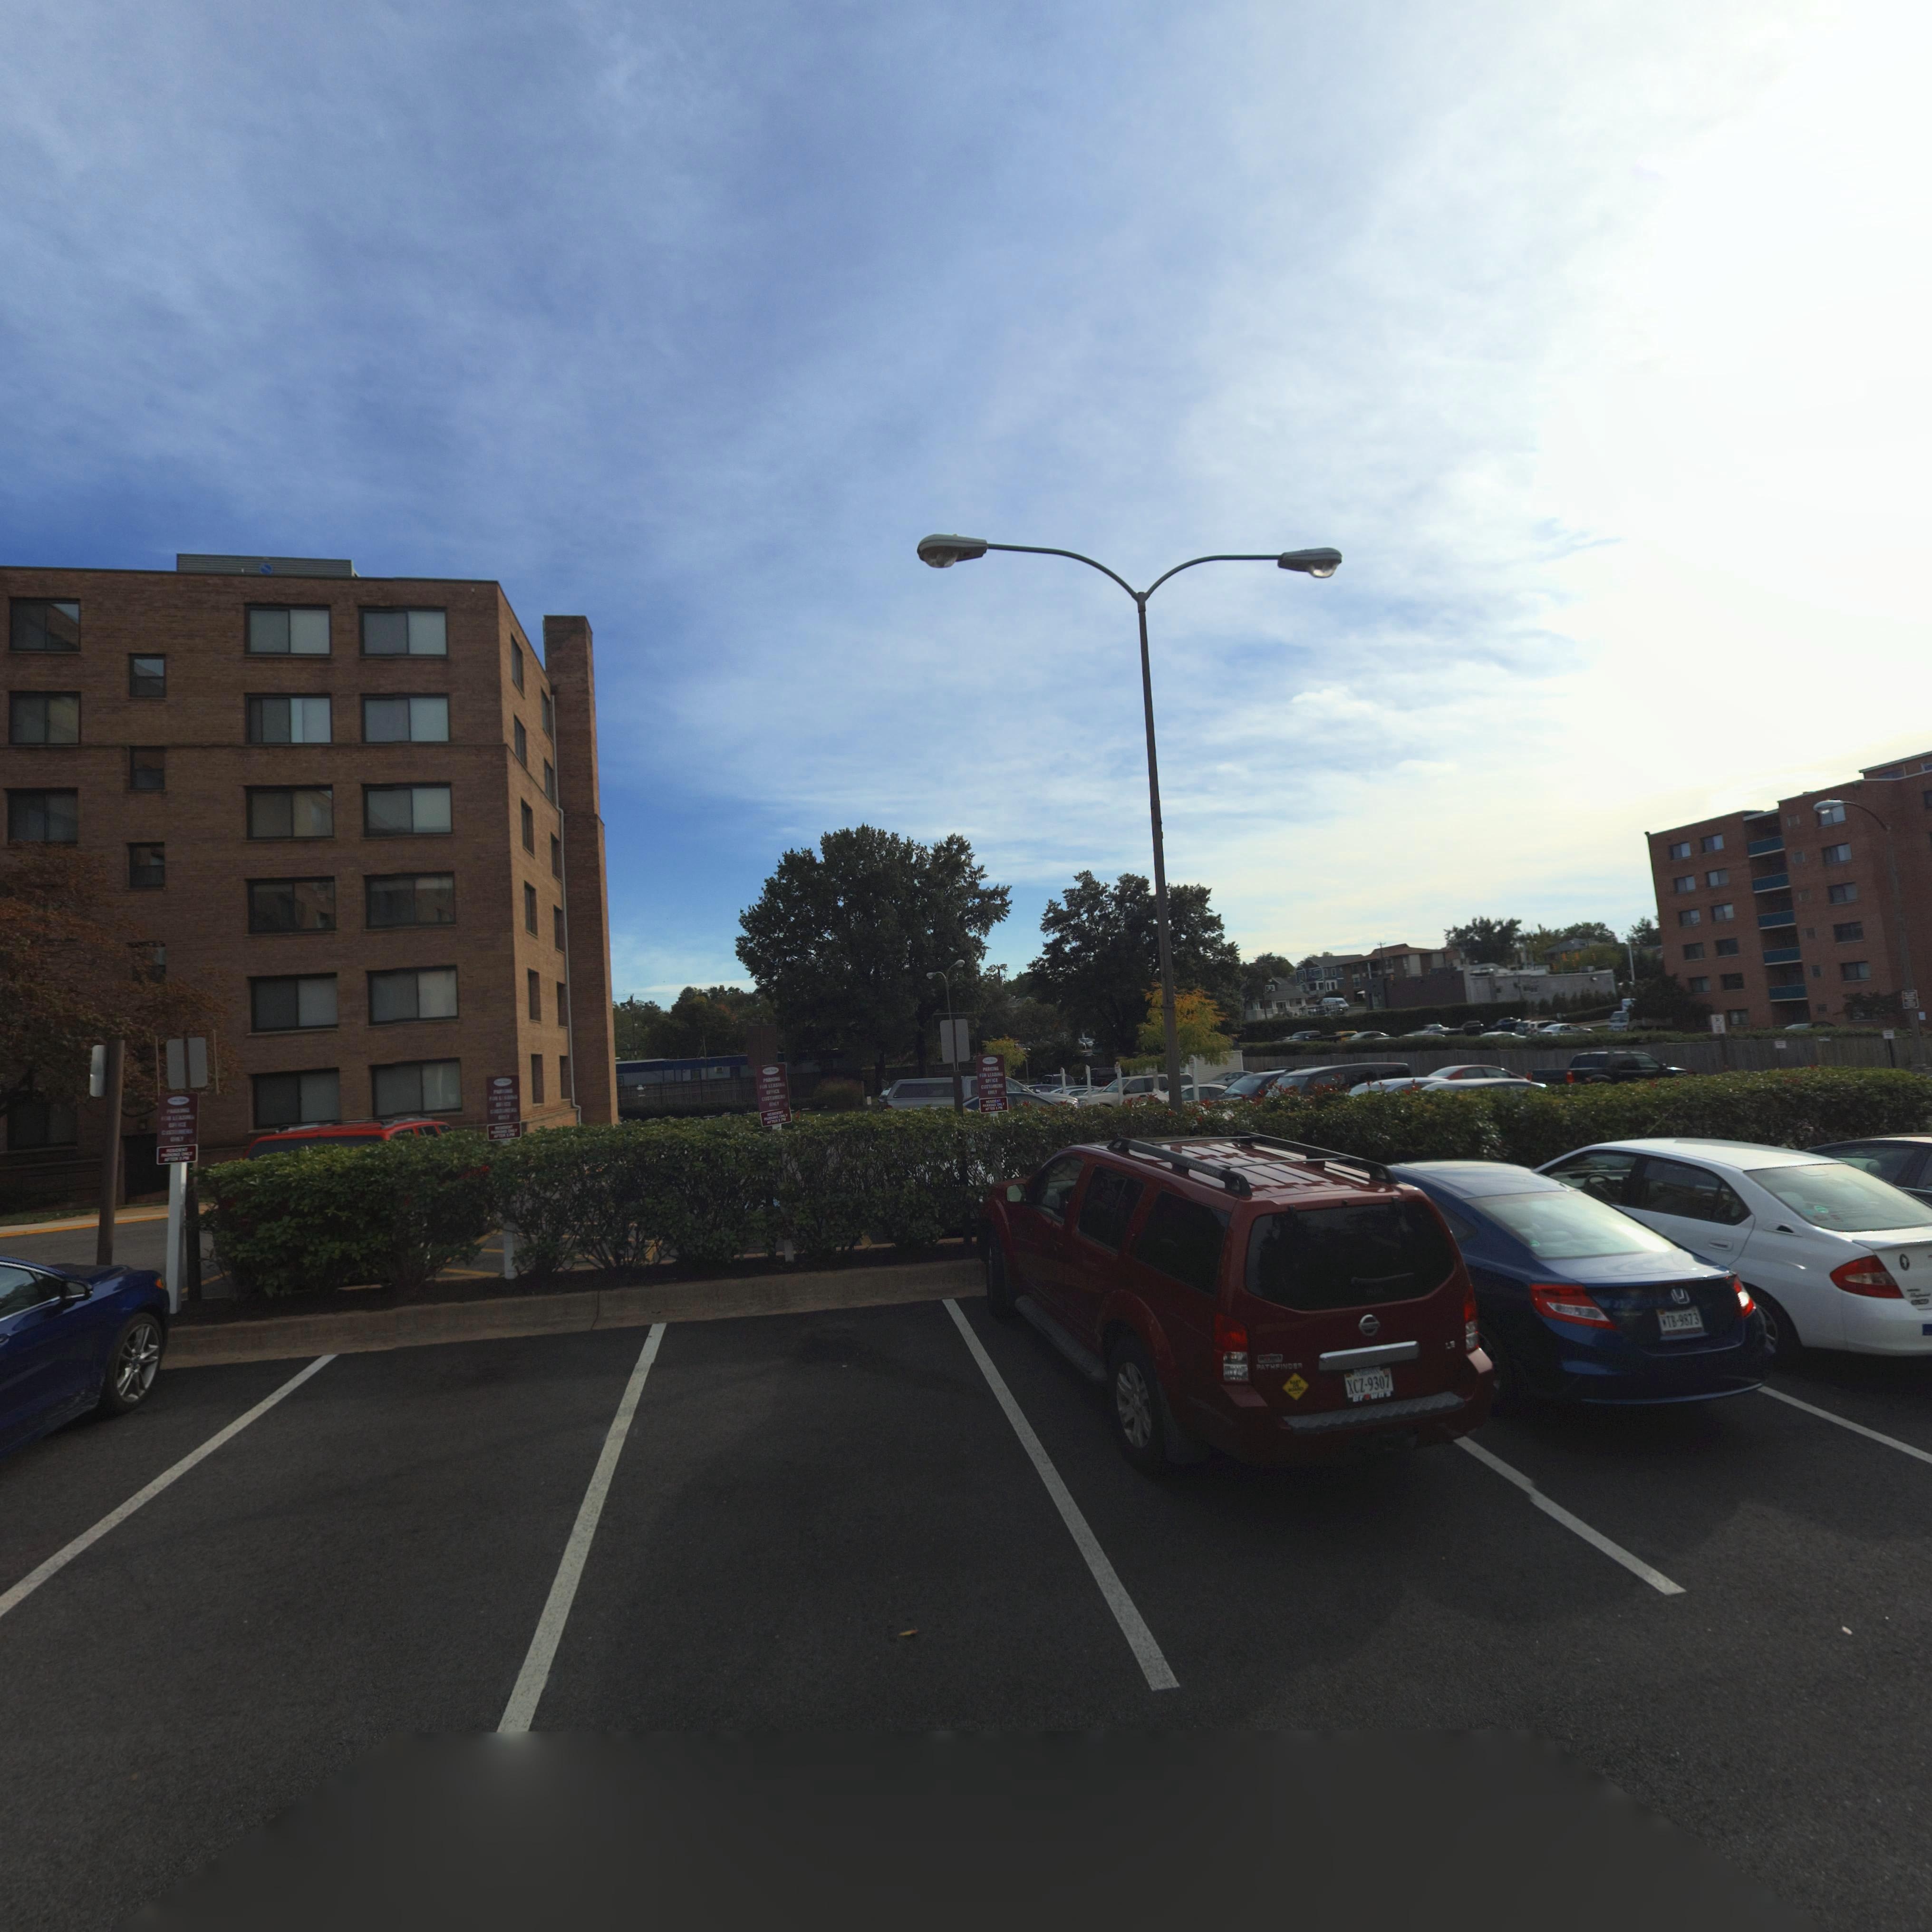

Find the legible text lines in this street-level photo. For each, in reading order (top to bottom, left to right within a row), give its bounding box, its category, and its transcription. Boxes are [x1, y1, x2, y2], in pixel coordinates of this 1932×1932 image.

[981, 1065, 1000, 1072] None: PAR*I*G
[986, 1071, 997, 1078] None: LEAS
[985, 1077, 999, 1084] None: OF*ICE
[773, 1082, 779, 1088] None: AS
[980, 1083, 1004, 1090] None: CUSTOMERS
[765, 1088, 781, 1096] None: OFFICE
[761, 1093, 787, 1102] None: CUSTOMERS
[1665, 1311, 1702, 1329] None: TB-9873
[1255, 1362, 1304, 1372] None: PATHFINDER
[1345, 1372, 1391, 1397] None: XCZ-9307
[1352, 1389, 1392, 1403] None: Br*Wns